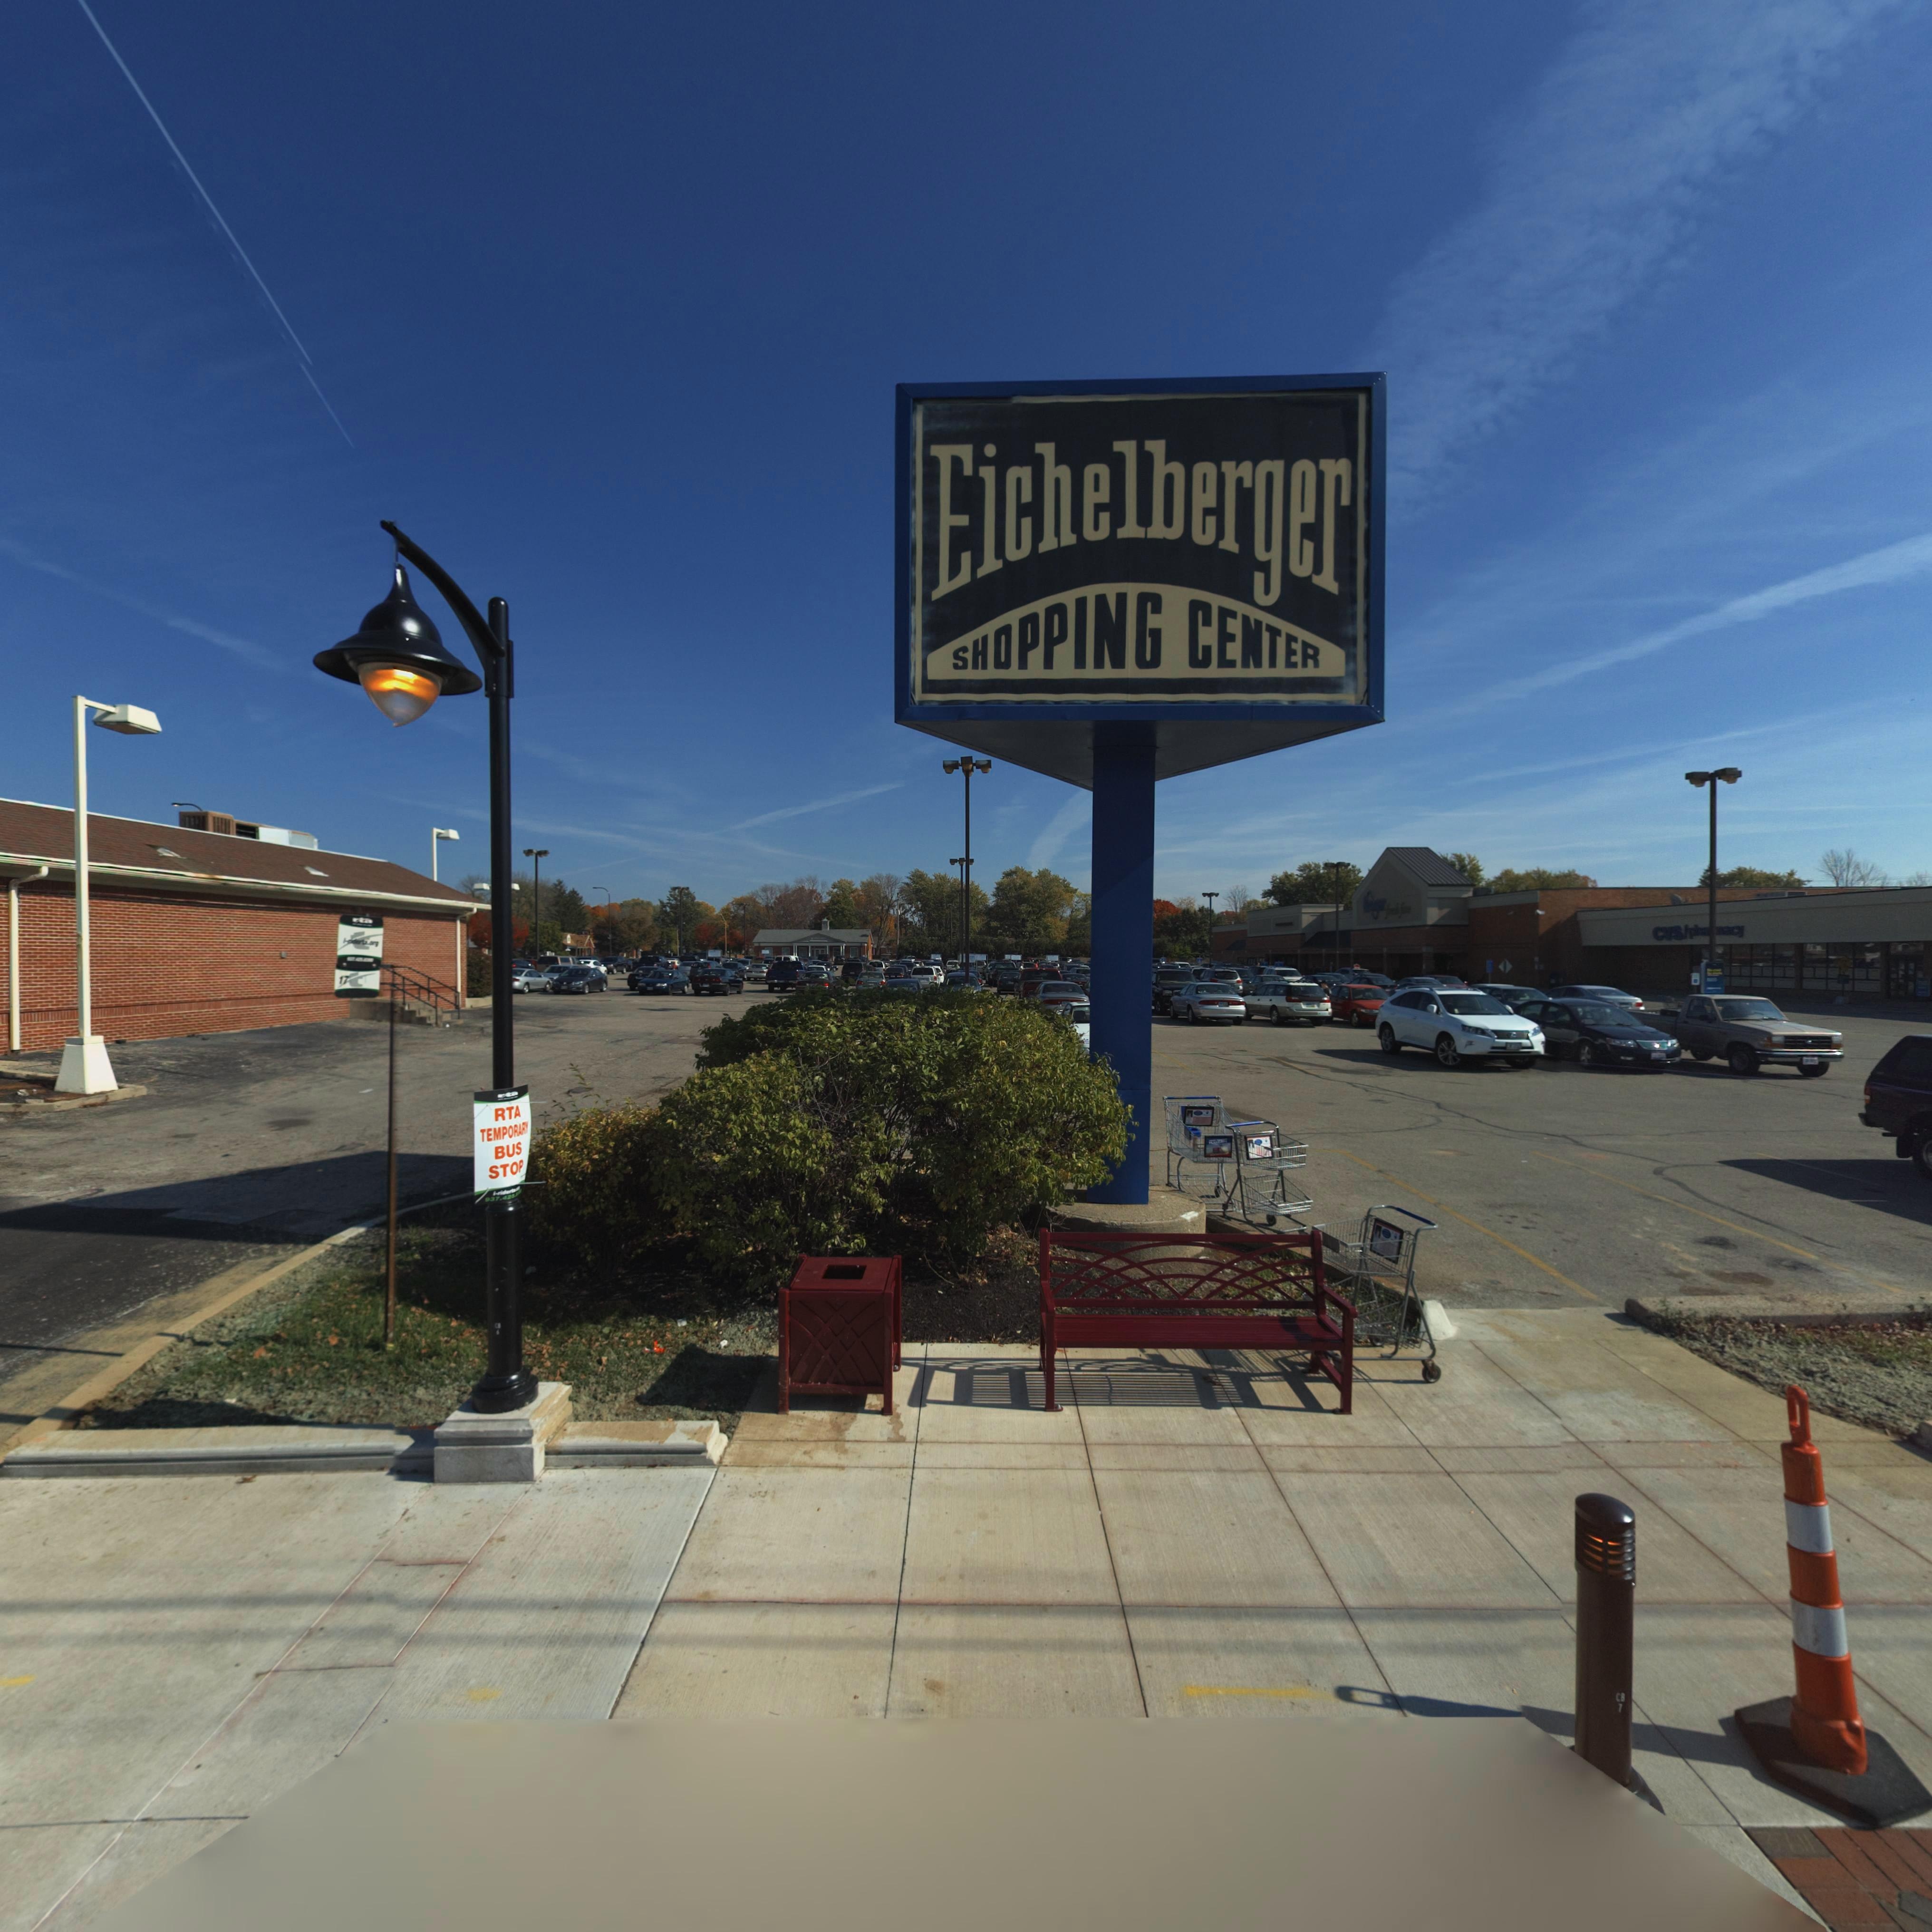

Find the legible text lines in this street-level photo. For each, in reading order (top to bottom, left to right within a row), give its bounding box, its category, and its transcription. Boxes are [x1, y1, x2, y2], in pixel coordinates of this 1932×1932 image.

[928, 438, 1353, 608] None: Eichelberger
[951, 591, 1320, 672] None: SHOPPING CENTER
[351, 917, 374, 924] None: rta
[1652, 925, 1684, 941] BusinessName: CVS
[1722, 926, 1745, 938] BusinessName: acy
[338, 975, 352, 985] None: 17
[497, 1091, 519, 1098] None: rta
[494, 1105, 522, 1122] None: RTA
[480, 1120, 529, 1143] None: TEMPORARY
[494, 1141, 522, 1160] None: BUS
[488, 1159, 523, 1180] None: STOP
[484, 1193, 515, 1203] None: 937.425